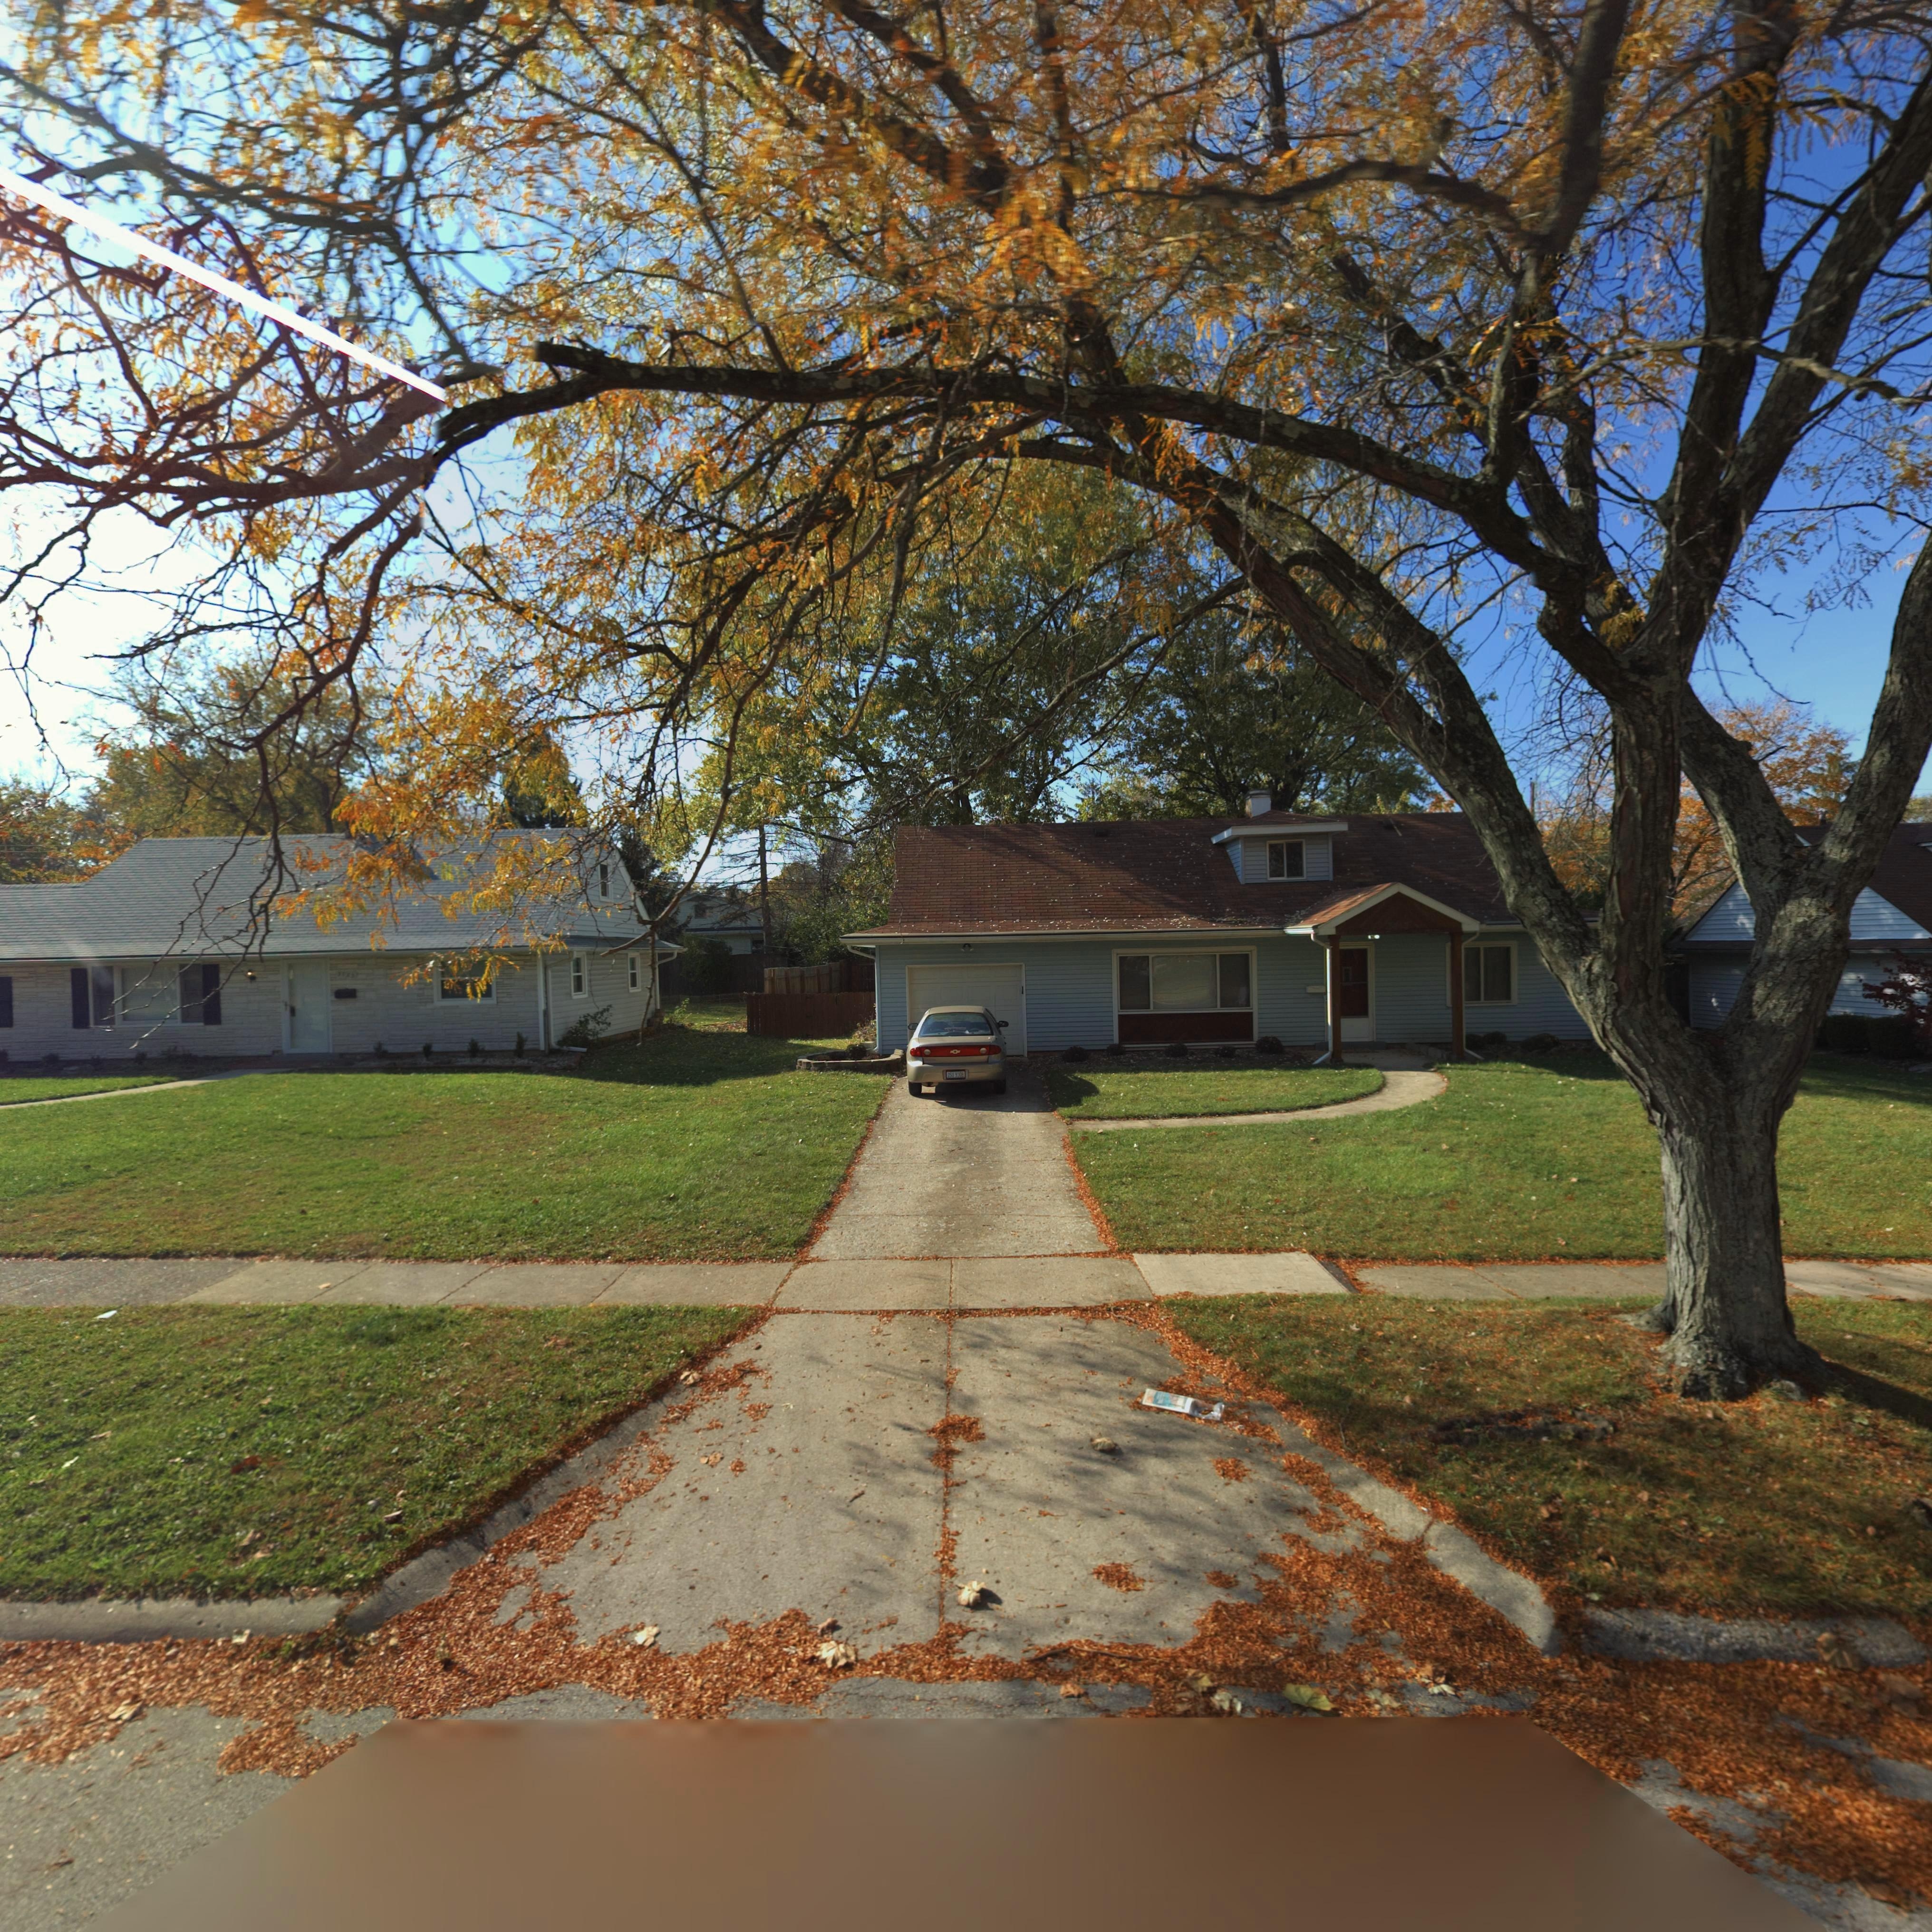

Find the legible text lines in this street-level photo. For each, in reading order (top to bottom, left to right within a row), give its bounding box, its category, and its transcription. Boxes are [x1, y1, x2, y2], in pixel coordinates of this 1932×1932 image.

[1386, 921, 1410, 931] StreetNumber: *71*
[337, 971, 355, 979] StreetNumber: 3***
[947, 1072, 964, 1078] None: OSU*9308